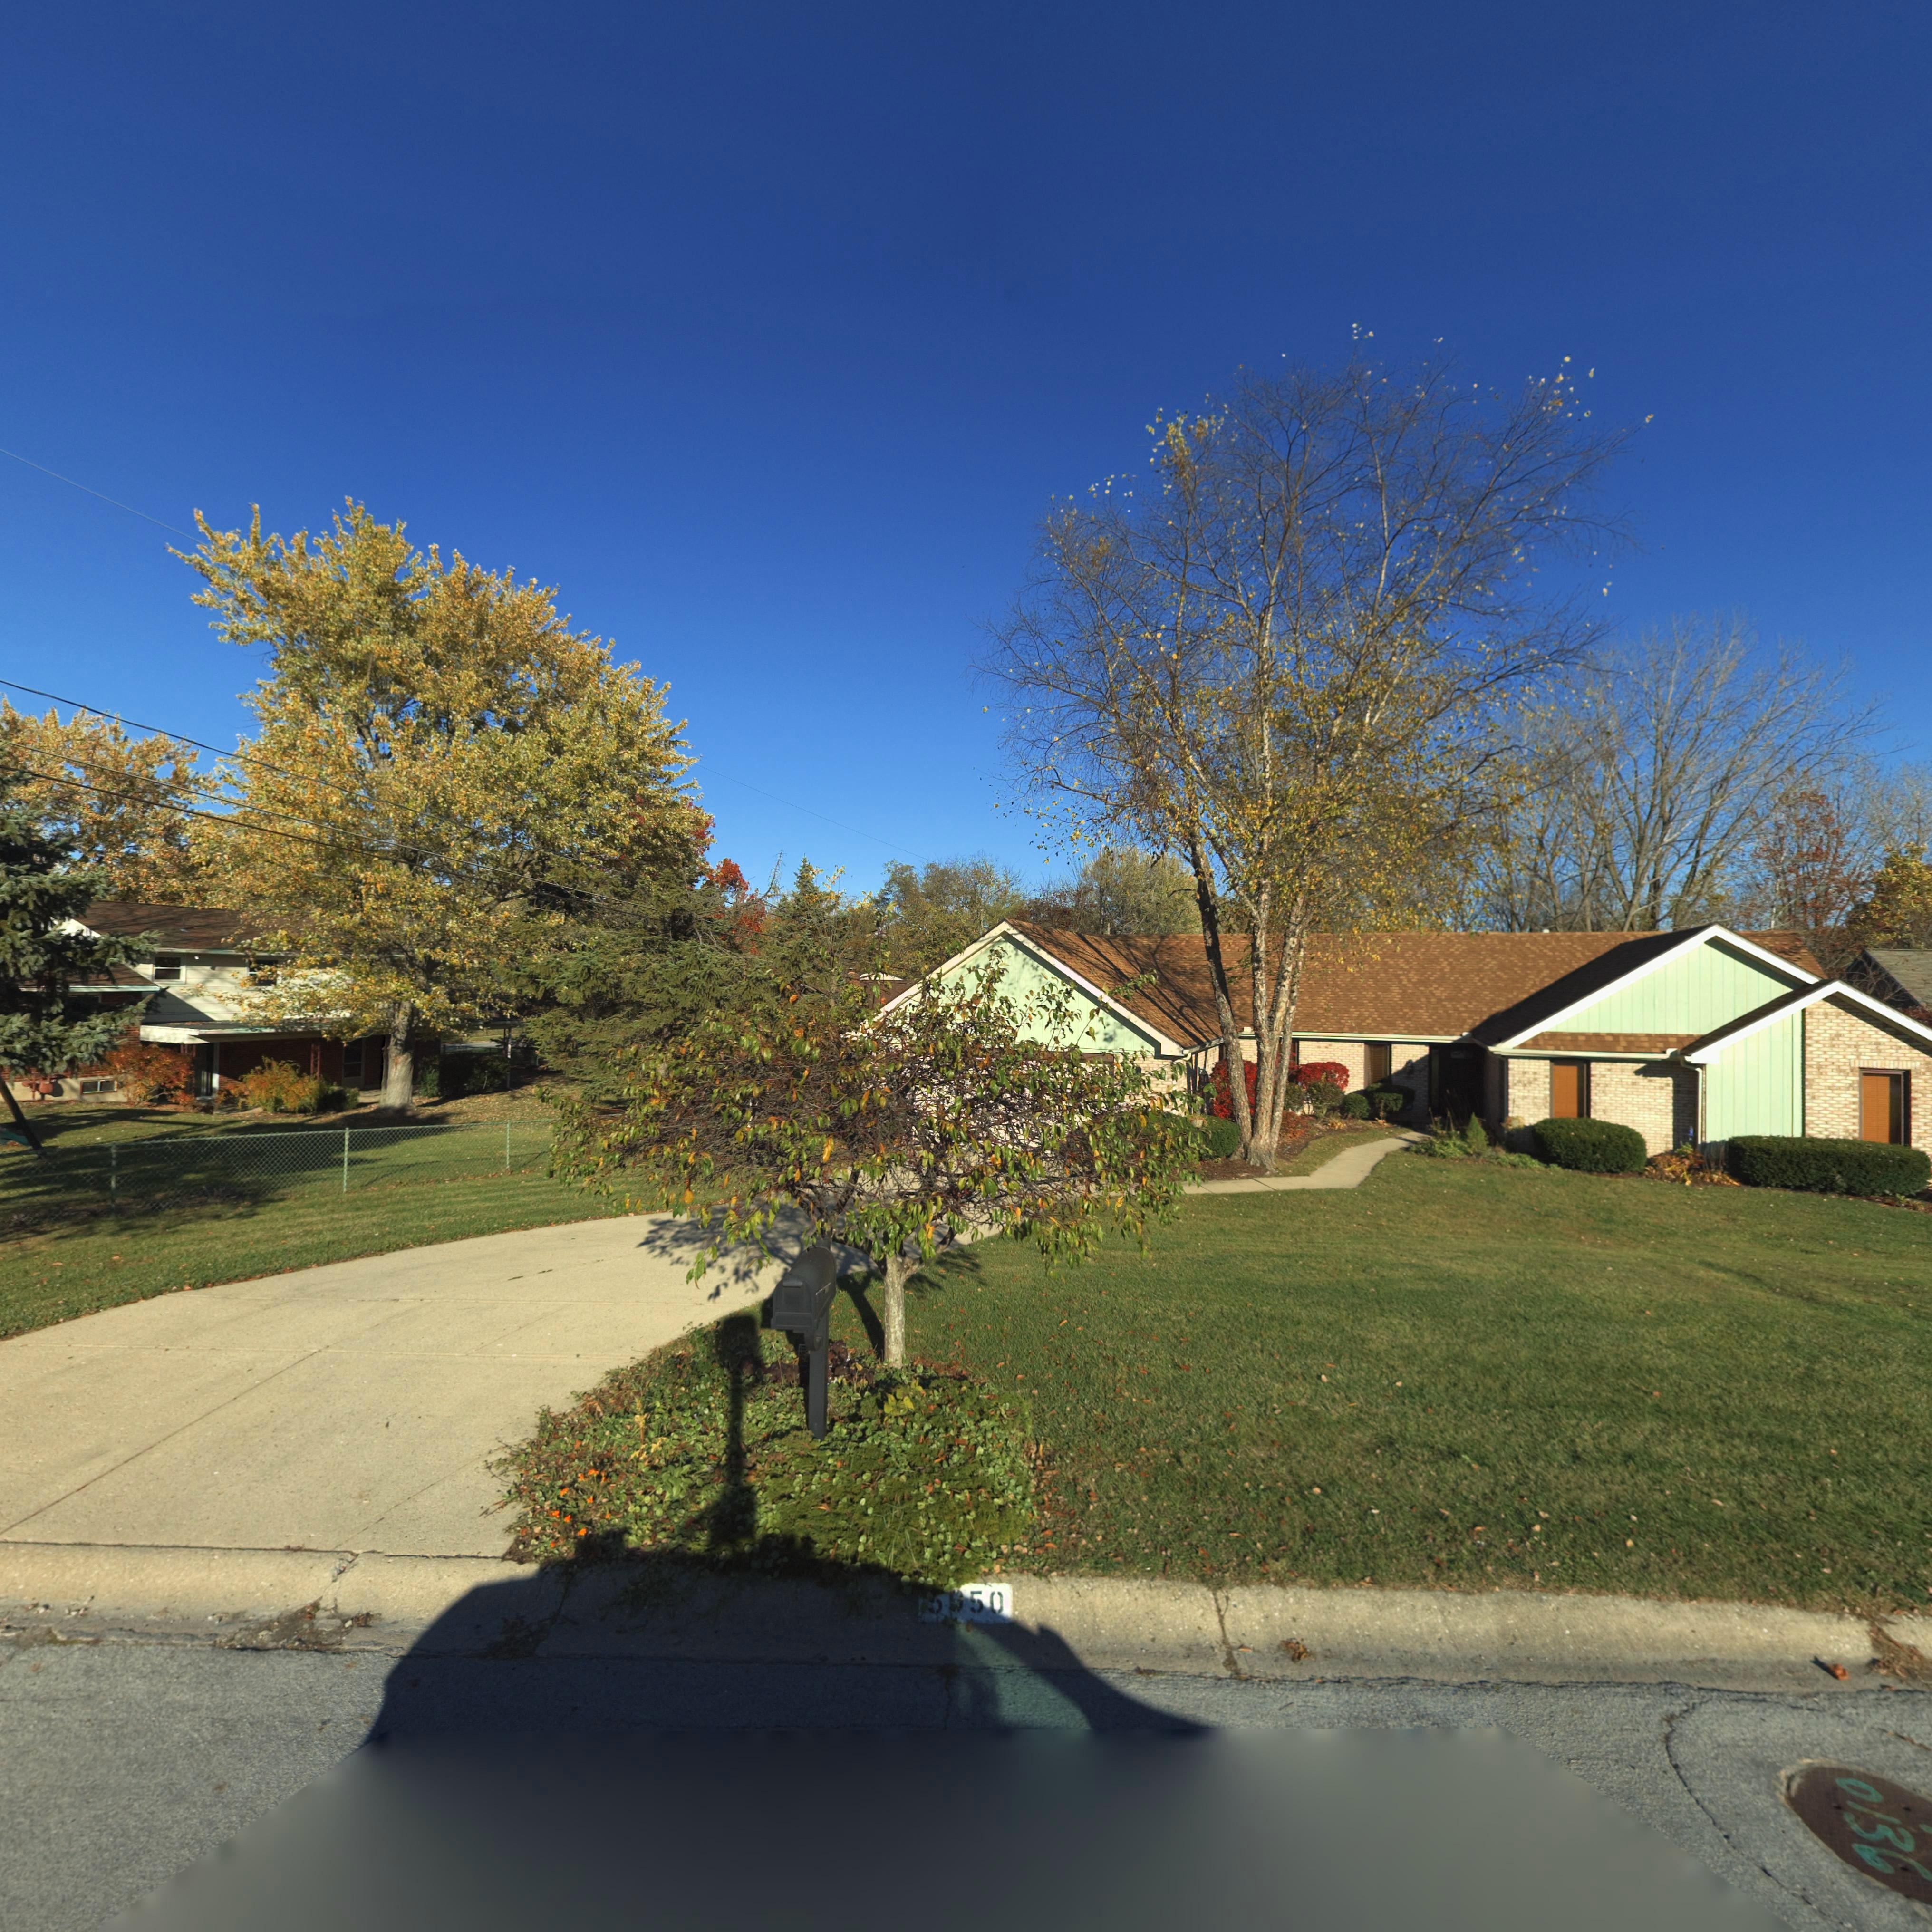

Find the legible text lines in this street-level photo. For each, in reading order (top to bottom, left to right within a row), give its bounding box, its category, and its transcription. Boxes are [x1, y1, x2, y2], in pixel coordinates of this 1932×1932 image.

[927, 1587, 1005, 1615] StreetNumber: *050